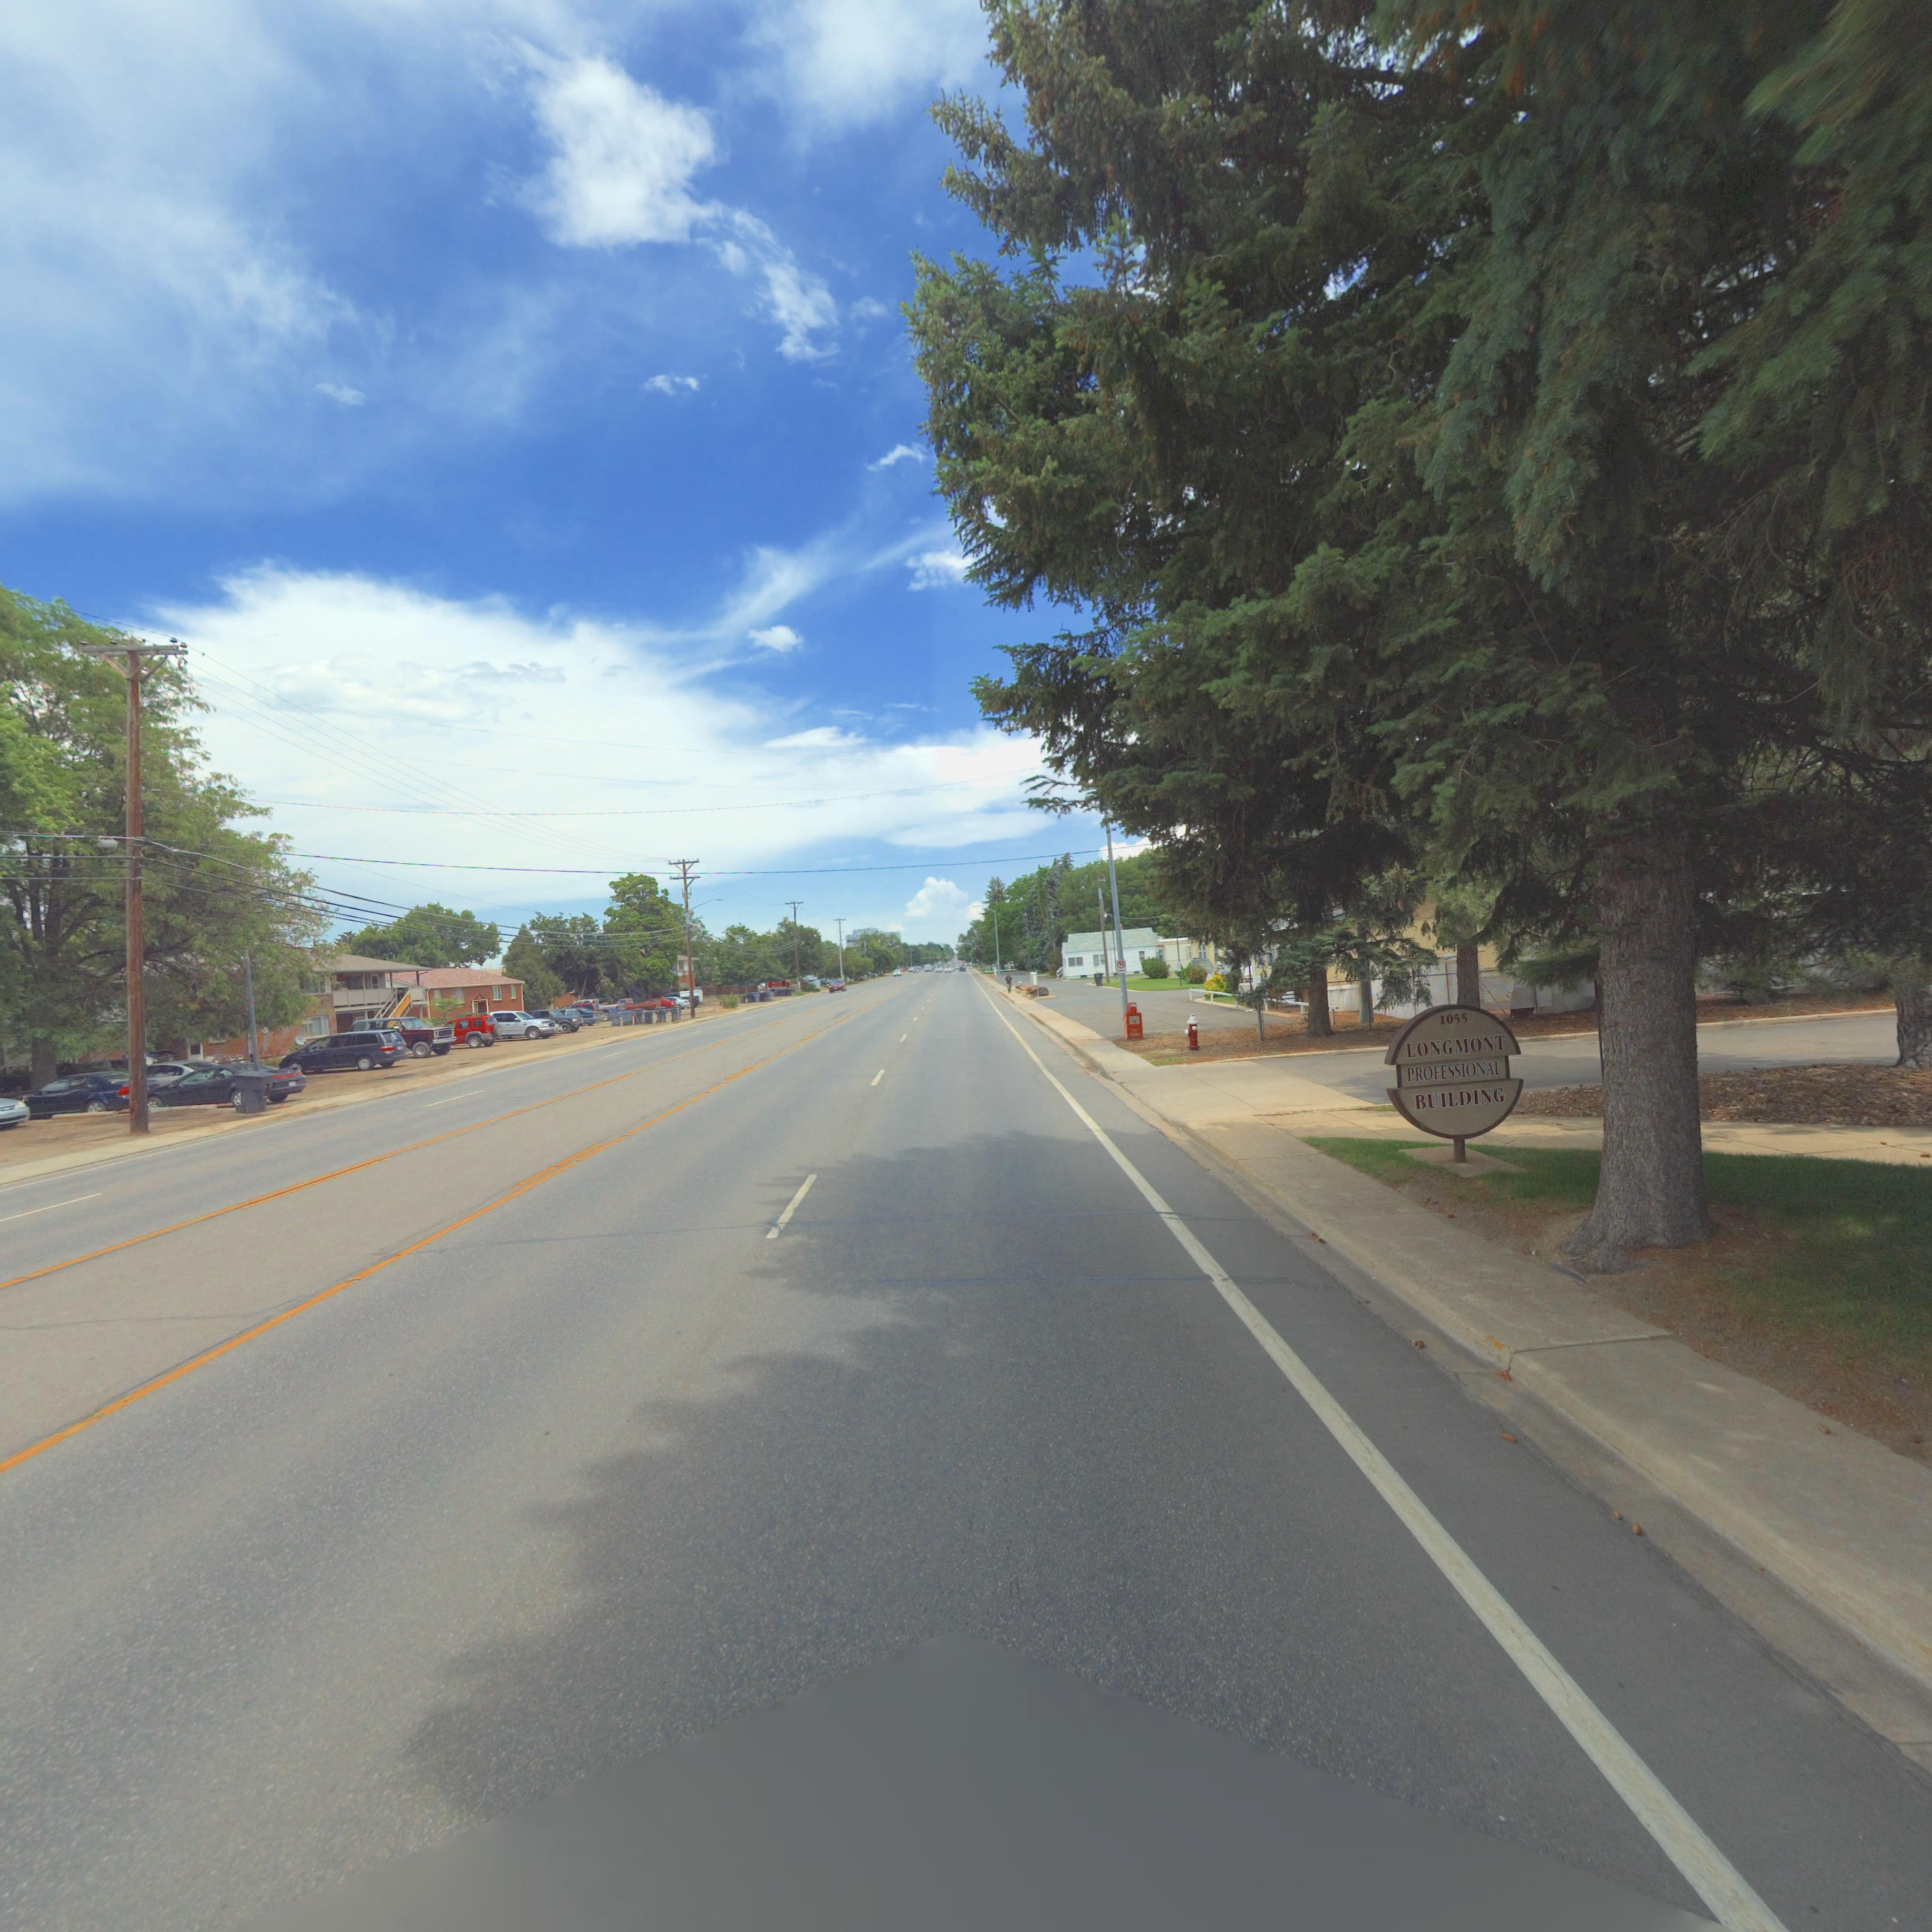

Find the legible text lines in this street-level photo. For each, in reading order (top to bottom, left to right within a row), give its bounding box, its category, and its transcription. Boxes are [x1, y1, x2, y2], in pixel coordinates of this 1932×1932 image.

[1439, 1012, 1468, 1025] StreetNumber: 1055